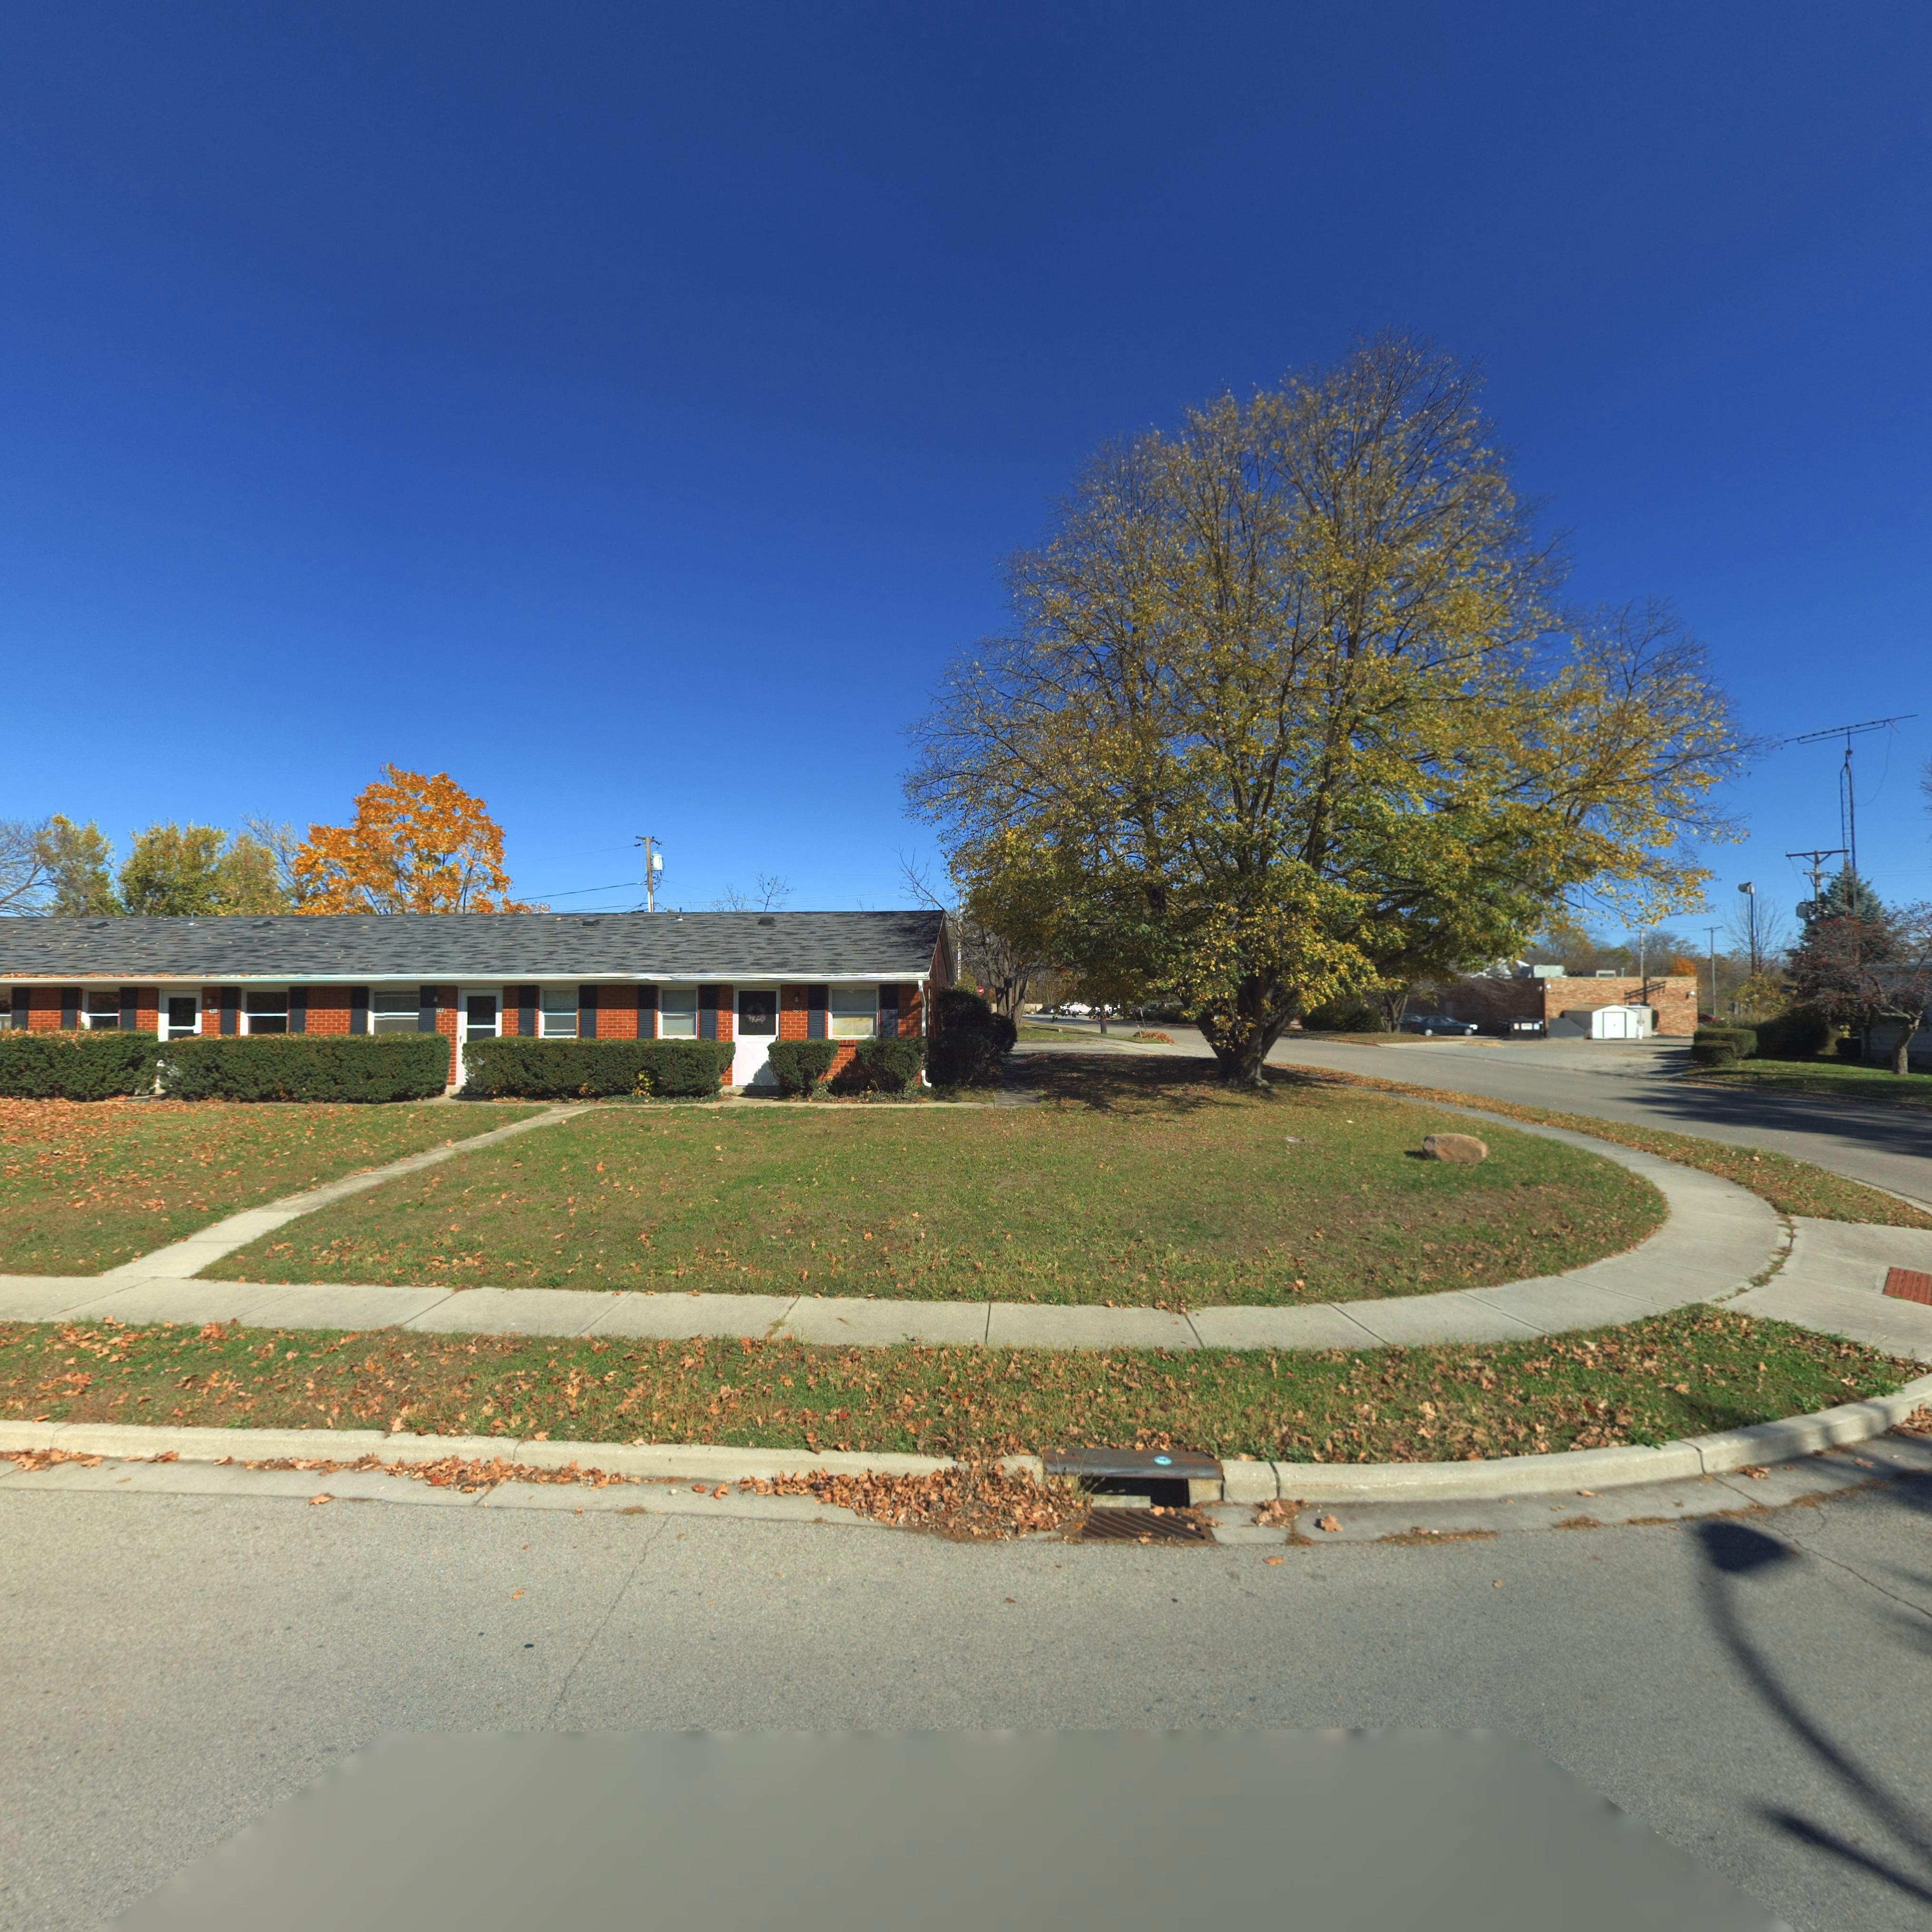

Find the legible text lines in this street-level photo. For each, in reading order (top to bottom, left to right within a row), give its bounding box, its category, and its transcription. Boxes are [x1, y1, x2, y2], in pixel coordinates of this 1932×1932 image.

[208, 1008, 218, 1014] StreetNumber: 620
[438, 1007, 444, 1013] StreetNumber: 22
[792, 1006, 802, 1012] StreetNumber: 624